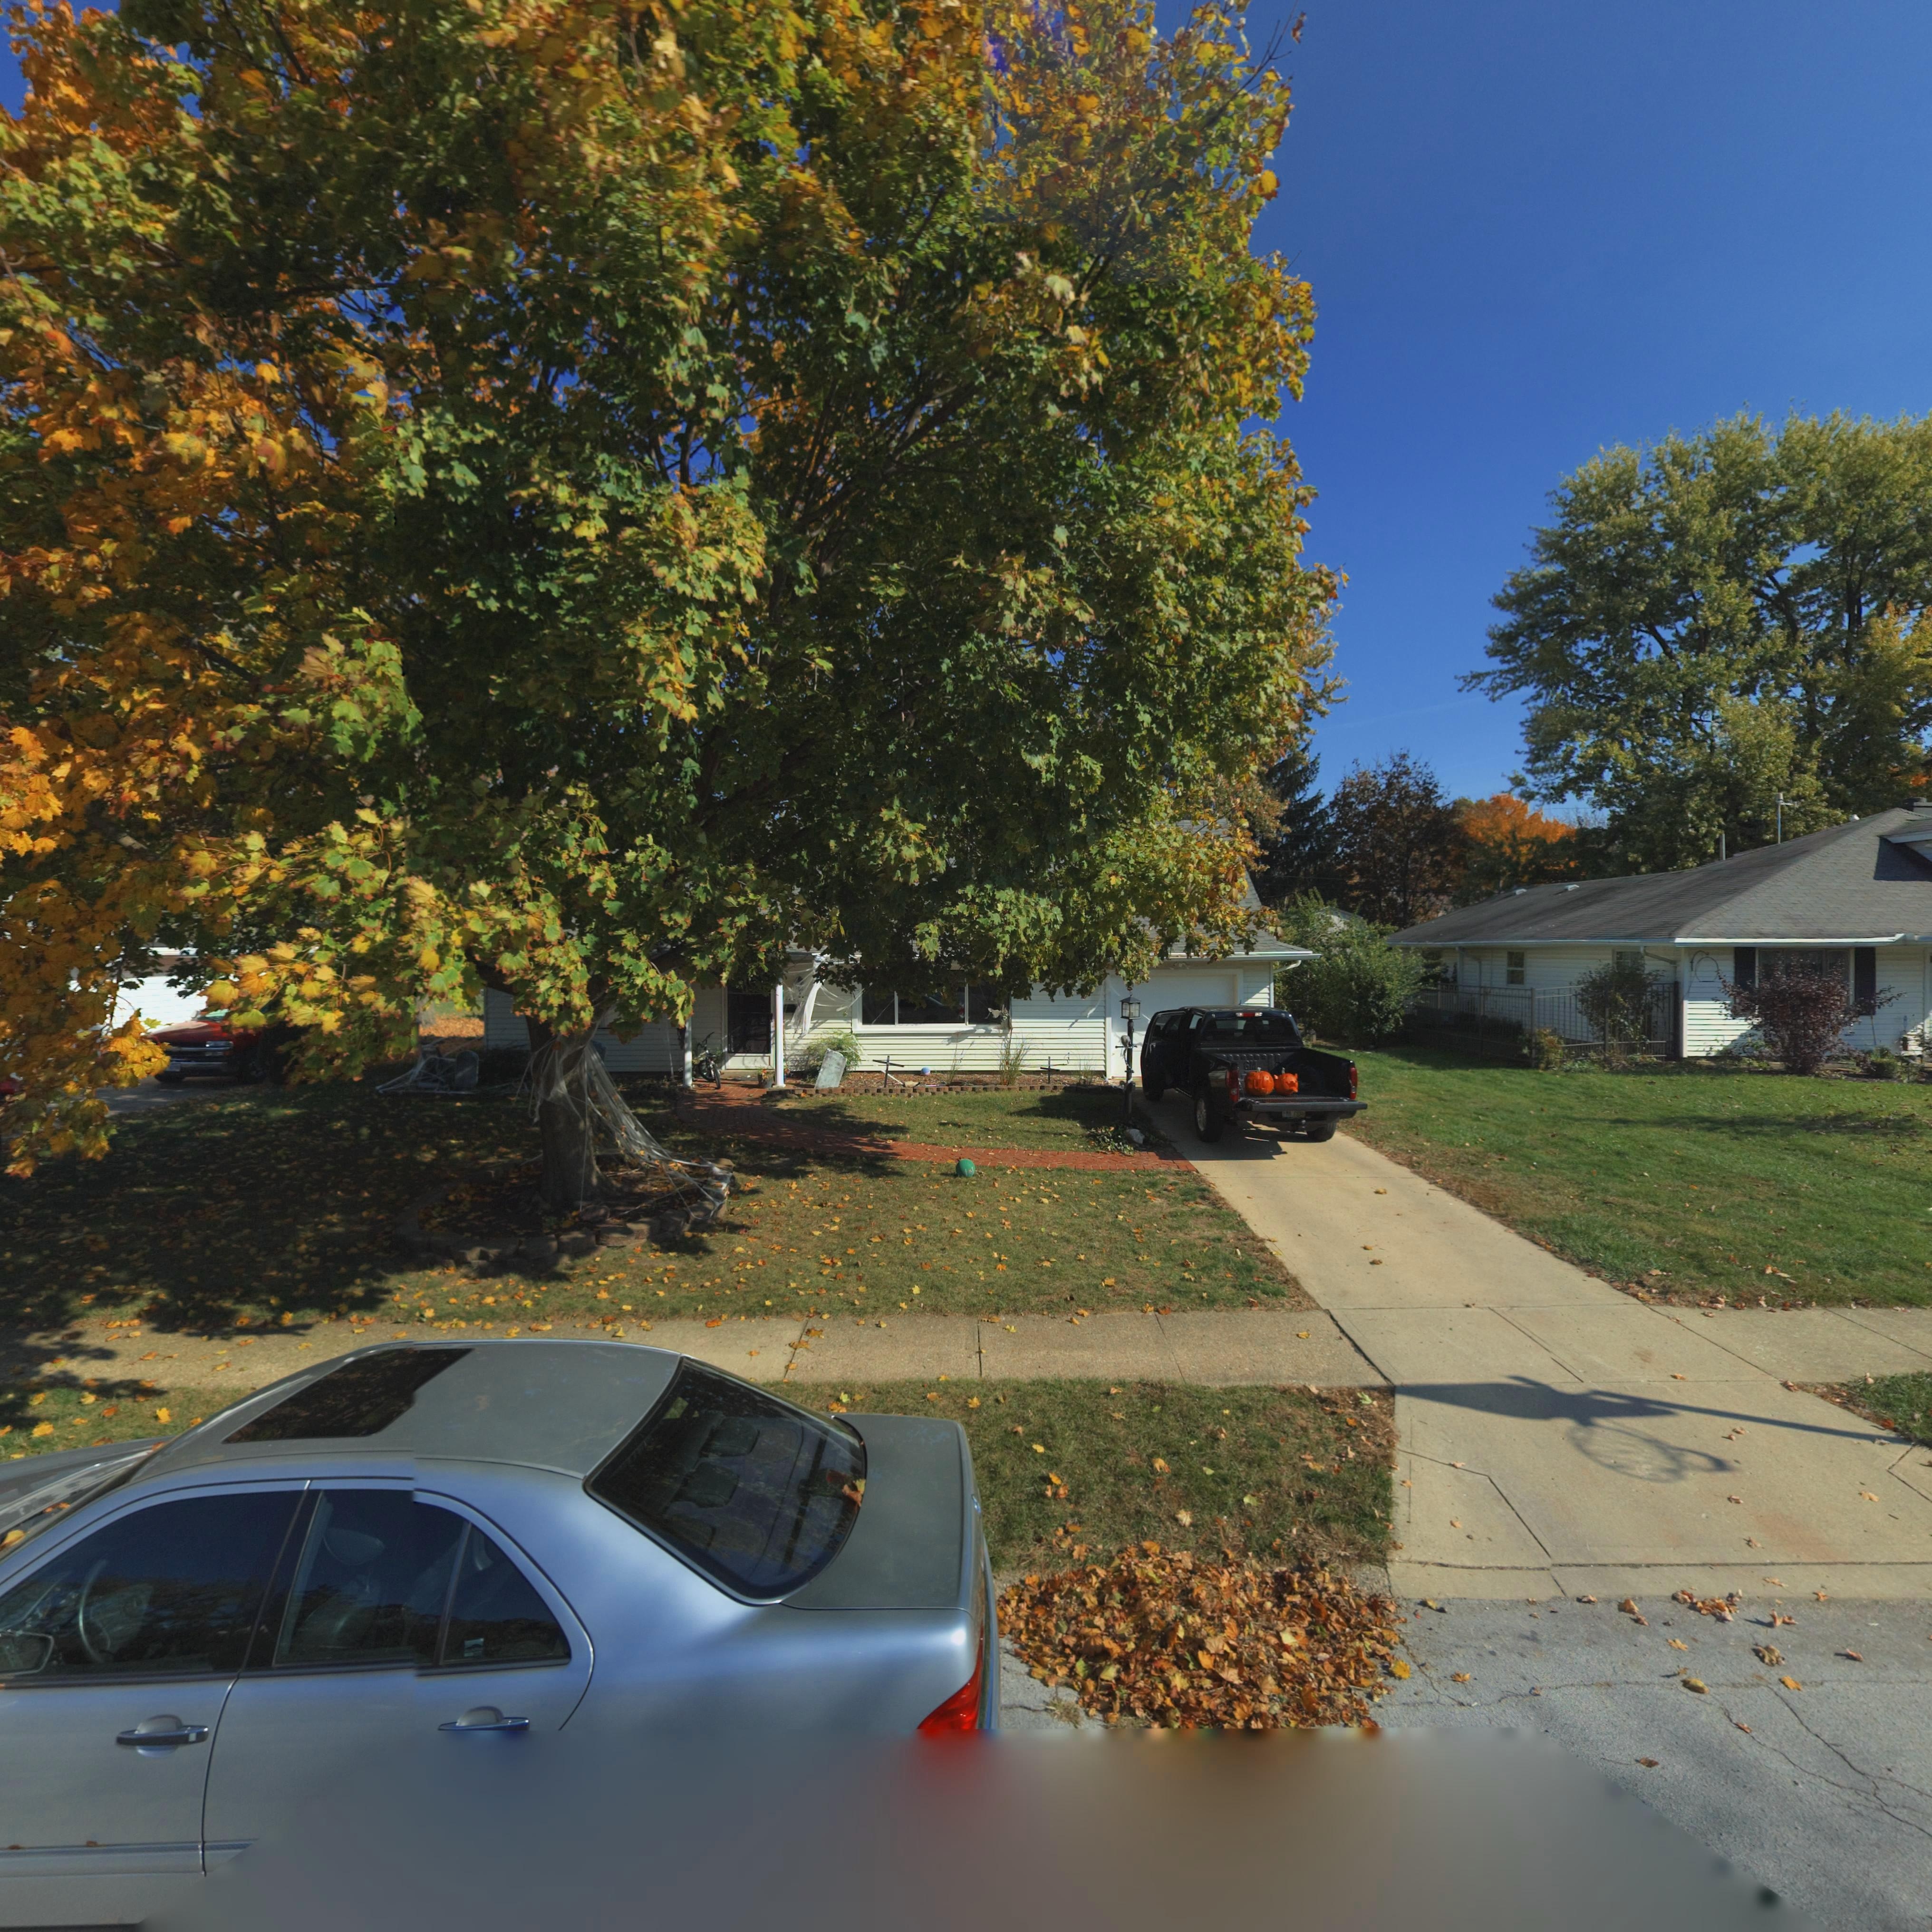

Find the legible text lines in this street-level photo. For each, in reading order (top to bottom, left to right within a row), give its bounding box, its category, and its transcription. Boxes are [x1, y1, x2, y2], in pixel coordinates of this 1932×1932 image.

[1243, 1060, 1258, 1071] None: GM
[1246, 1076, 1267, 1090] None: JUL